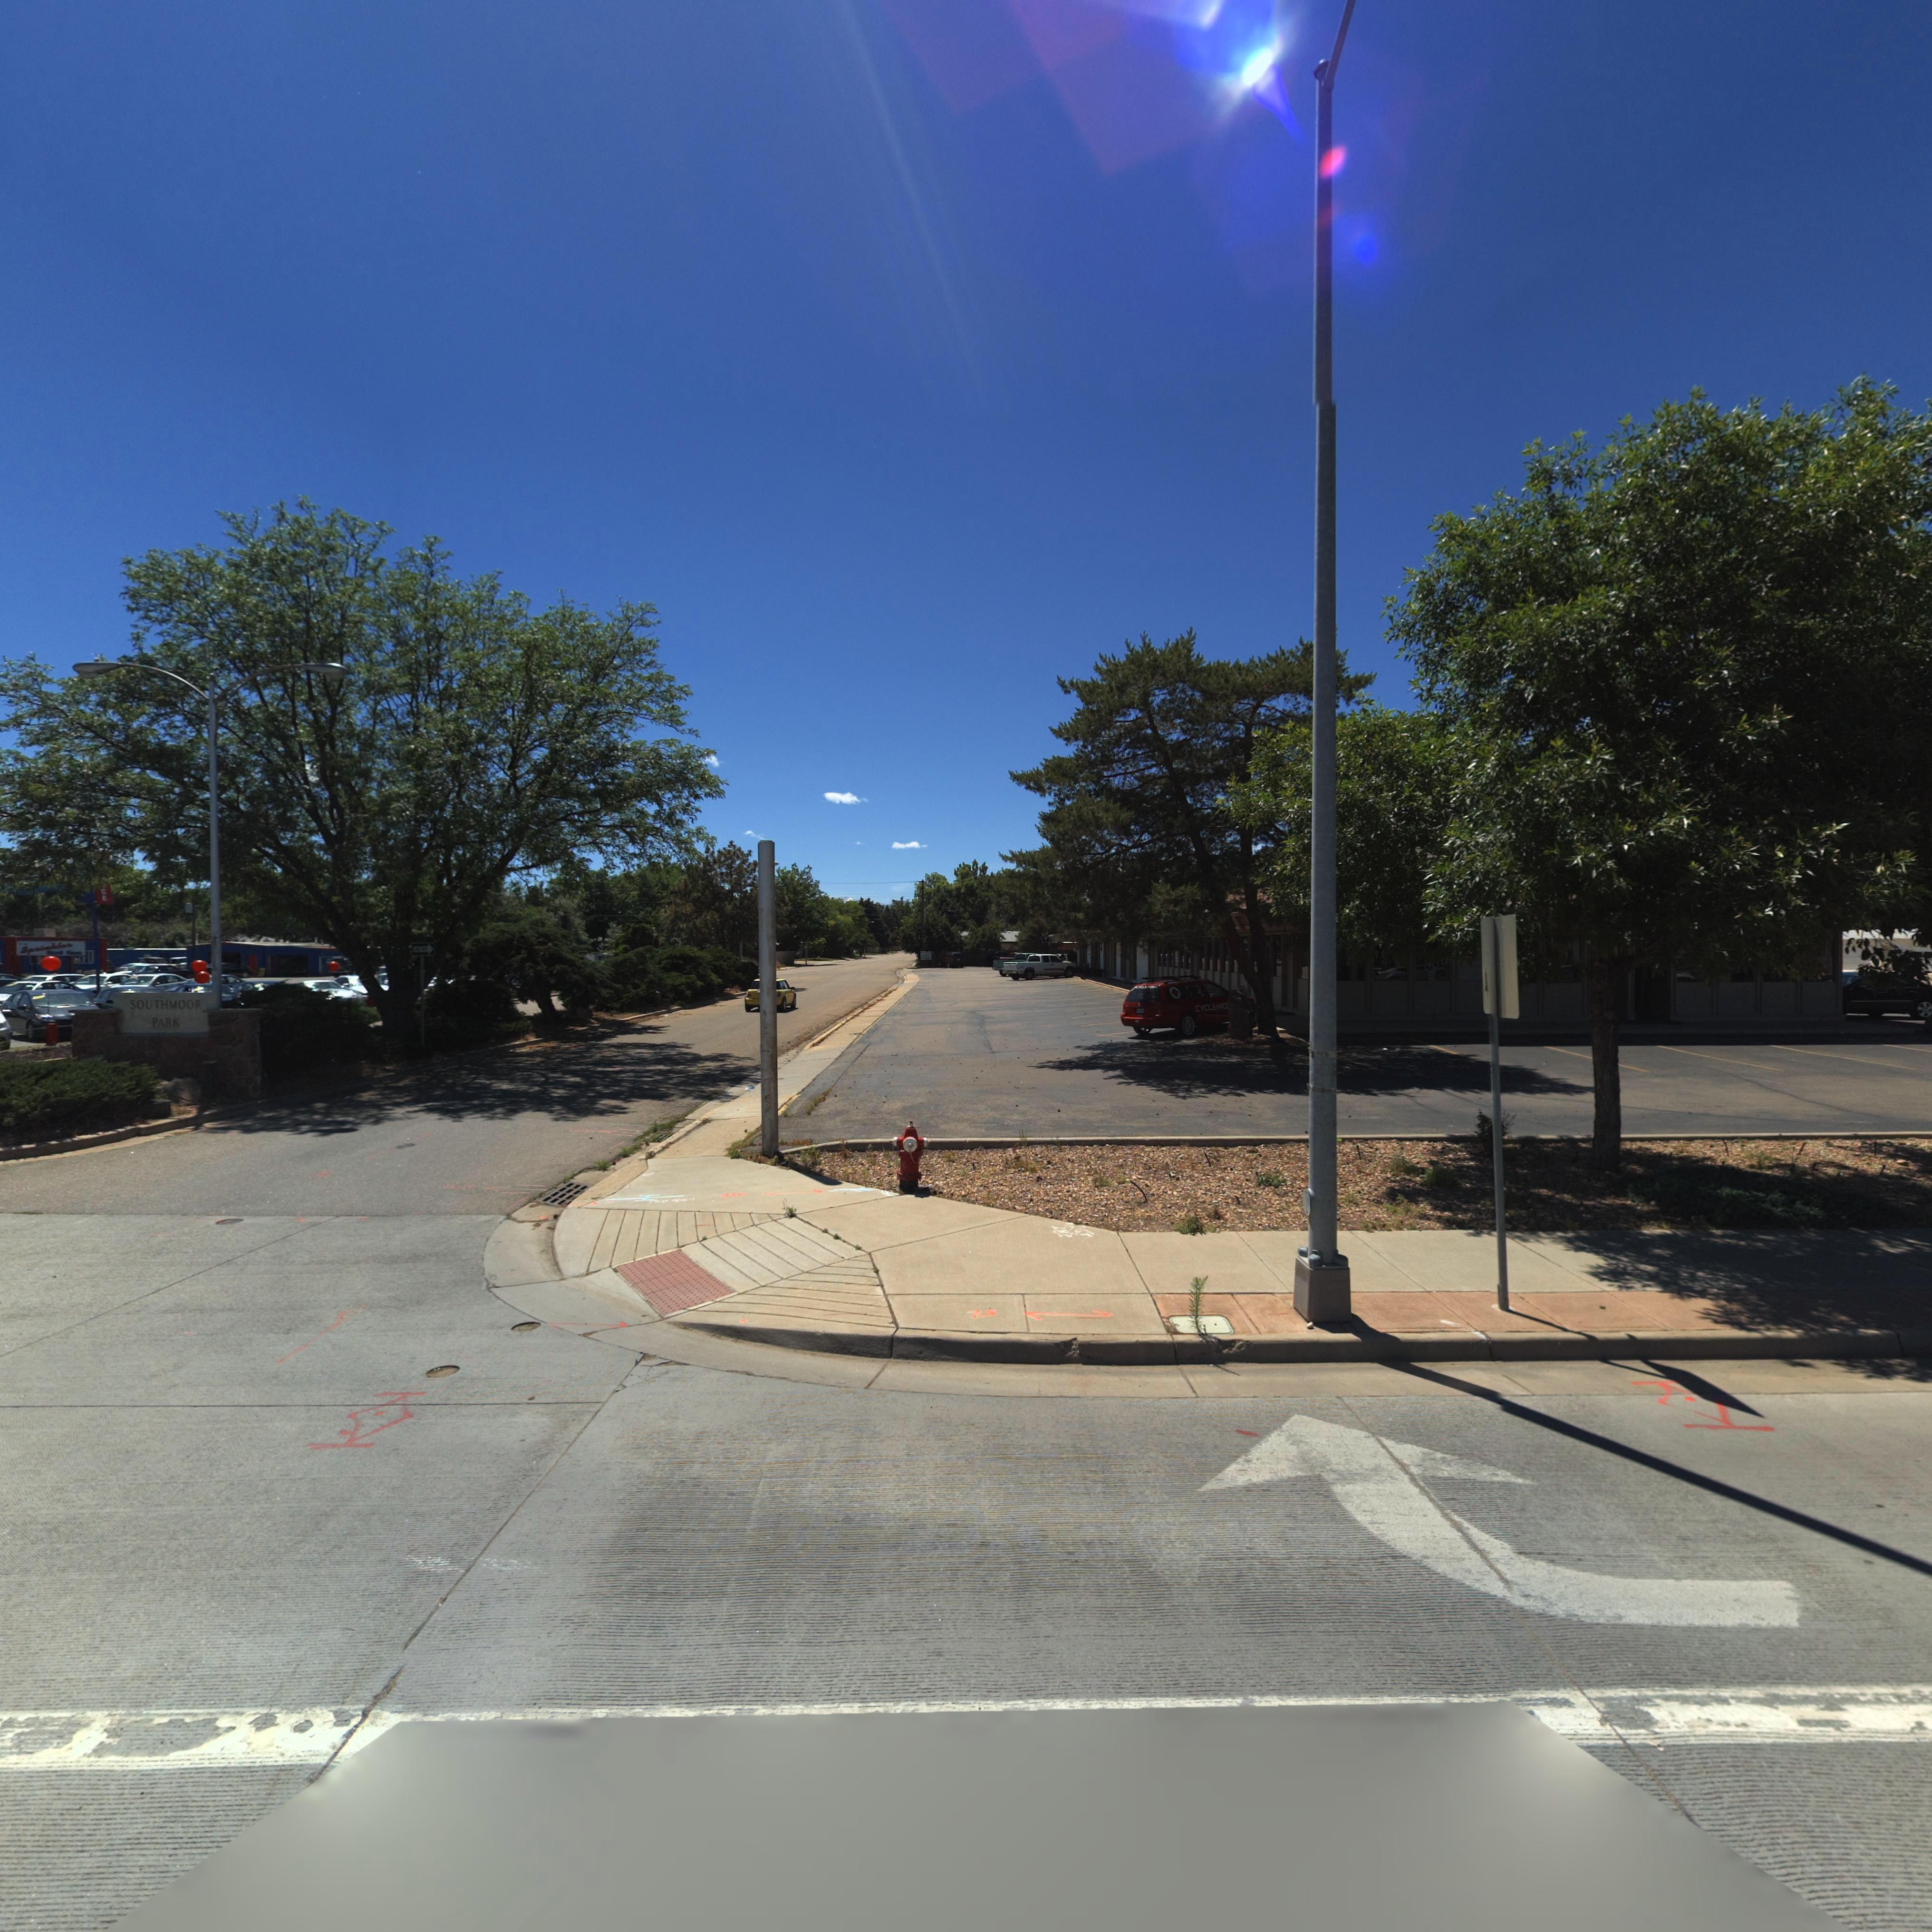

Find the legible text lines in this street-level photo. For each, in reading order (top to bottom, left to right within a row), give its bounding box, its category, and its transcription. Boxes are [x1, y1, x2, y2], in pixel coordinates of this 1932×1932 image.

[19, 942, 73, 955] BusinessName: Sp*******